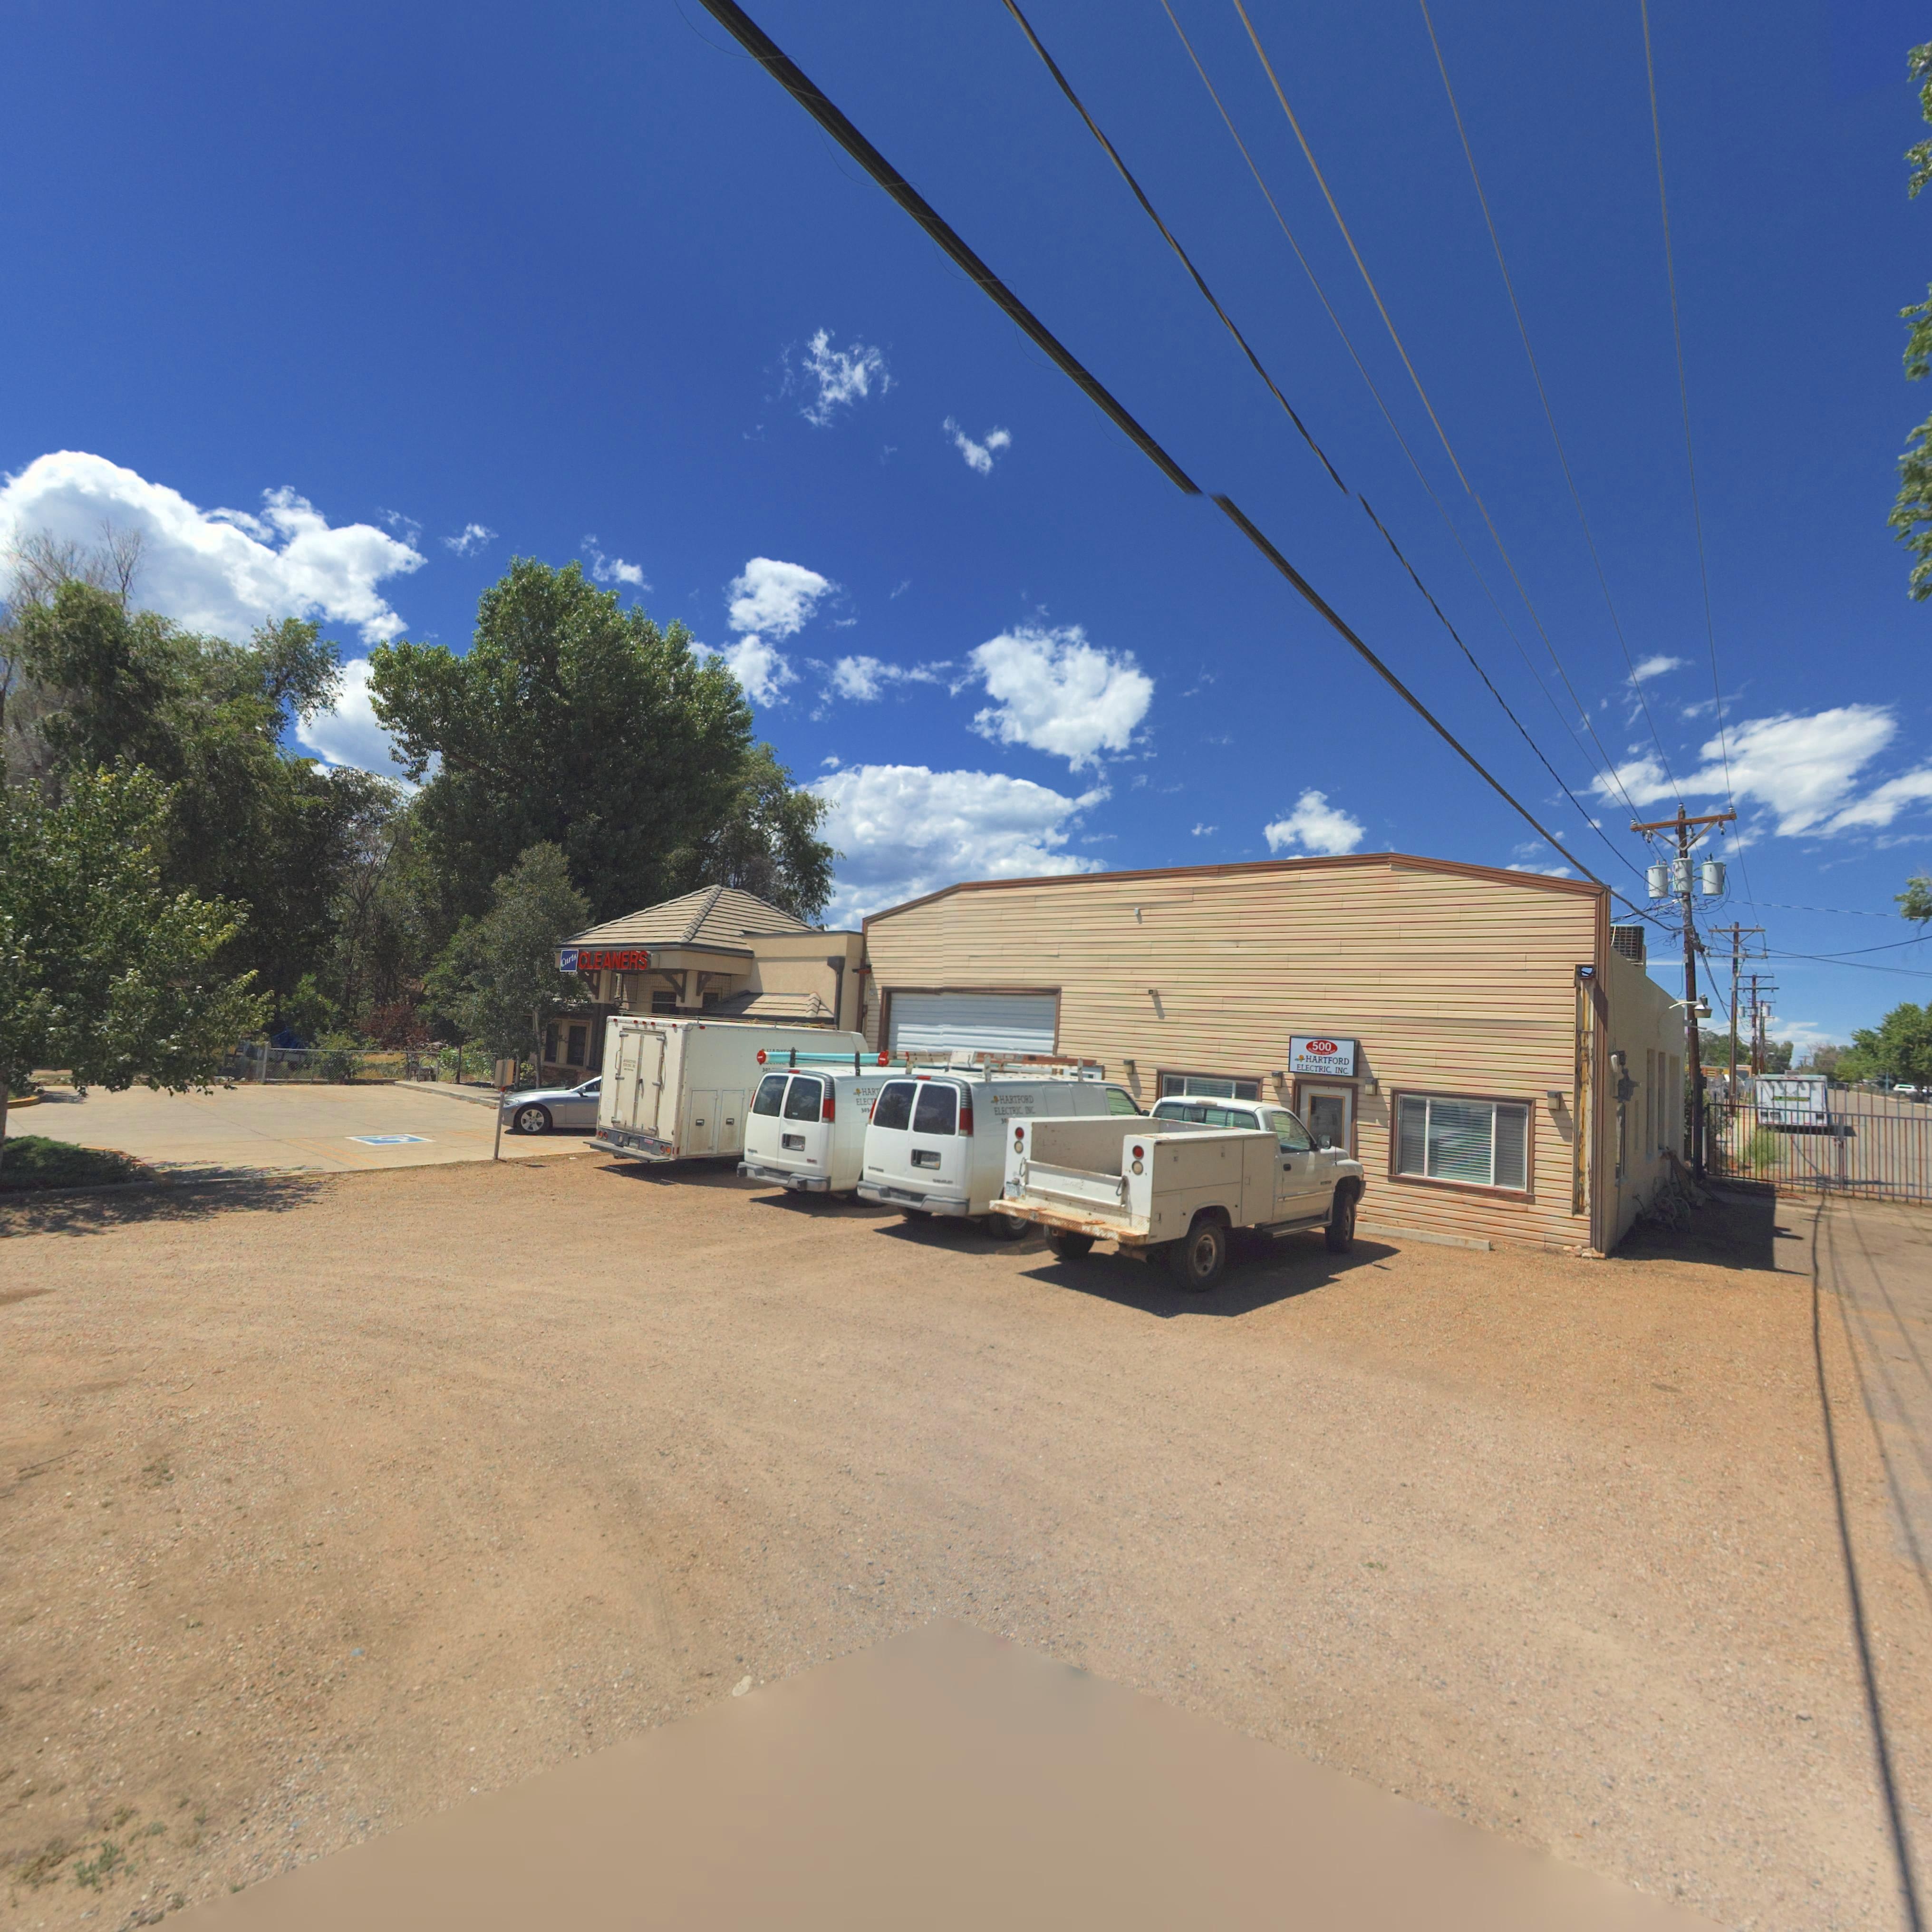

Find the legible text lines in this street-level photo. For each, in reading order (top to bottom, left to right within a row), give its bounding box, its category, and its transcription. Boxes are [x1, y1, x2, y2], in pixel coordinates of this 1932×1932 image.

[560, 953, 577, 967] BusinessName: C*rts
[578, 949, 648, 971] BusinessName: CLEANERS
[1312, 1041, 1331, 1051] StreetNumber: 500
[1305, 1055, 1349, 1065] BusinessName: HARTFORD
[1296, 1063, 1349, 1074] BusinessName: ELECTRIC, INC.